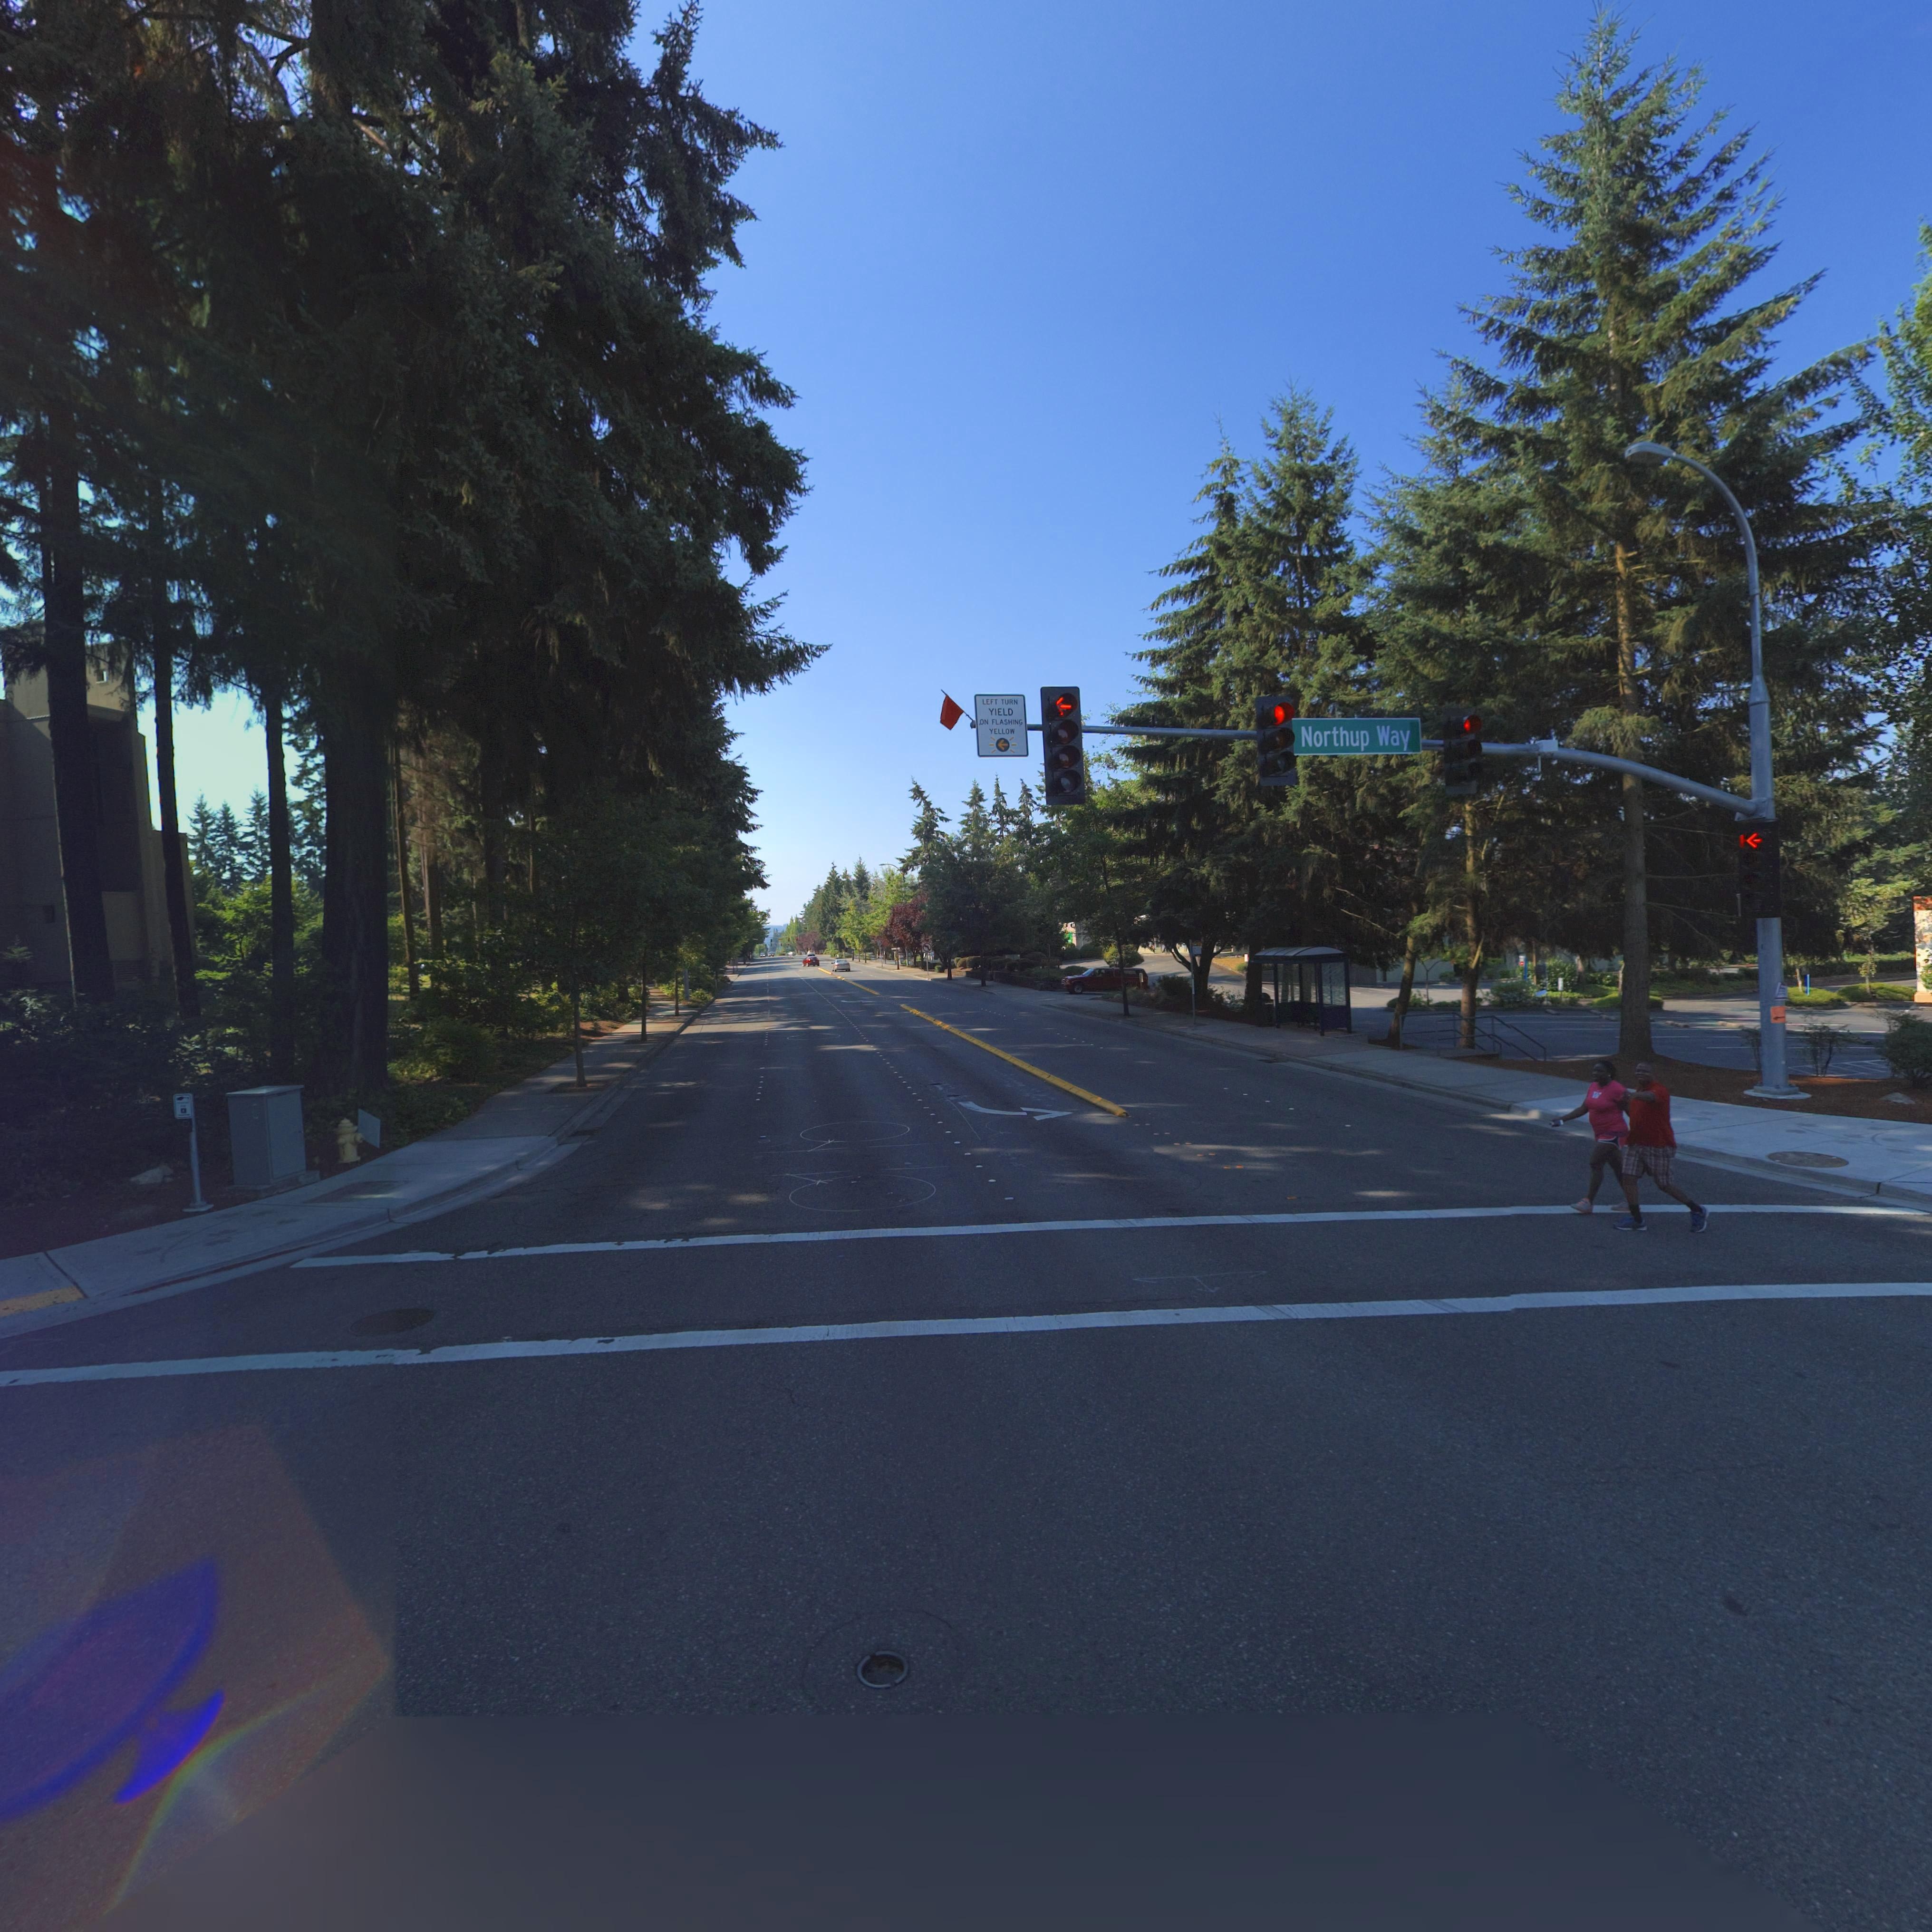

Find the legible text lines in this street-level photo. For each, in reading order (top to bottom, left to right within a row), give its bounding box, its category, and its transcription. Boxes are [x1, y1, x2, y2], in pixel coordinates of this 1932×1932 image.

[1300, 724, 1410, 752] StreetName: Northup Way